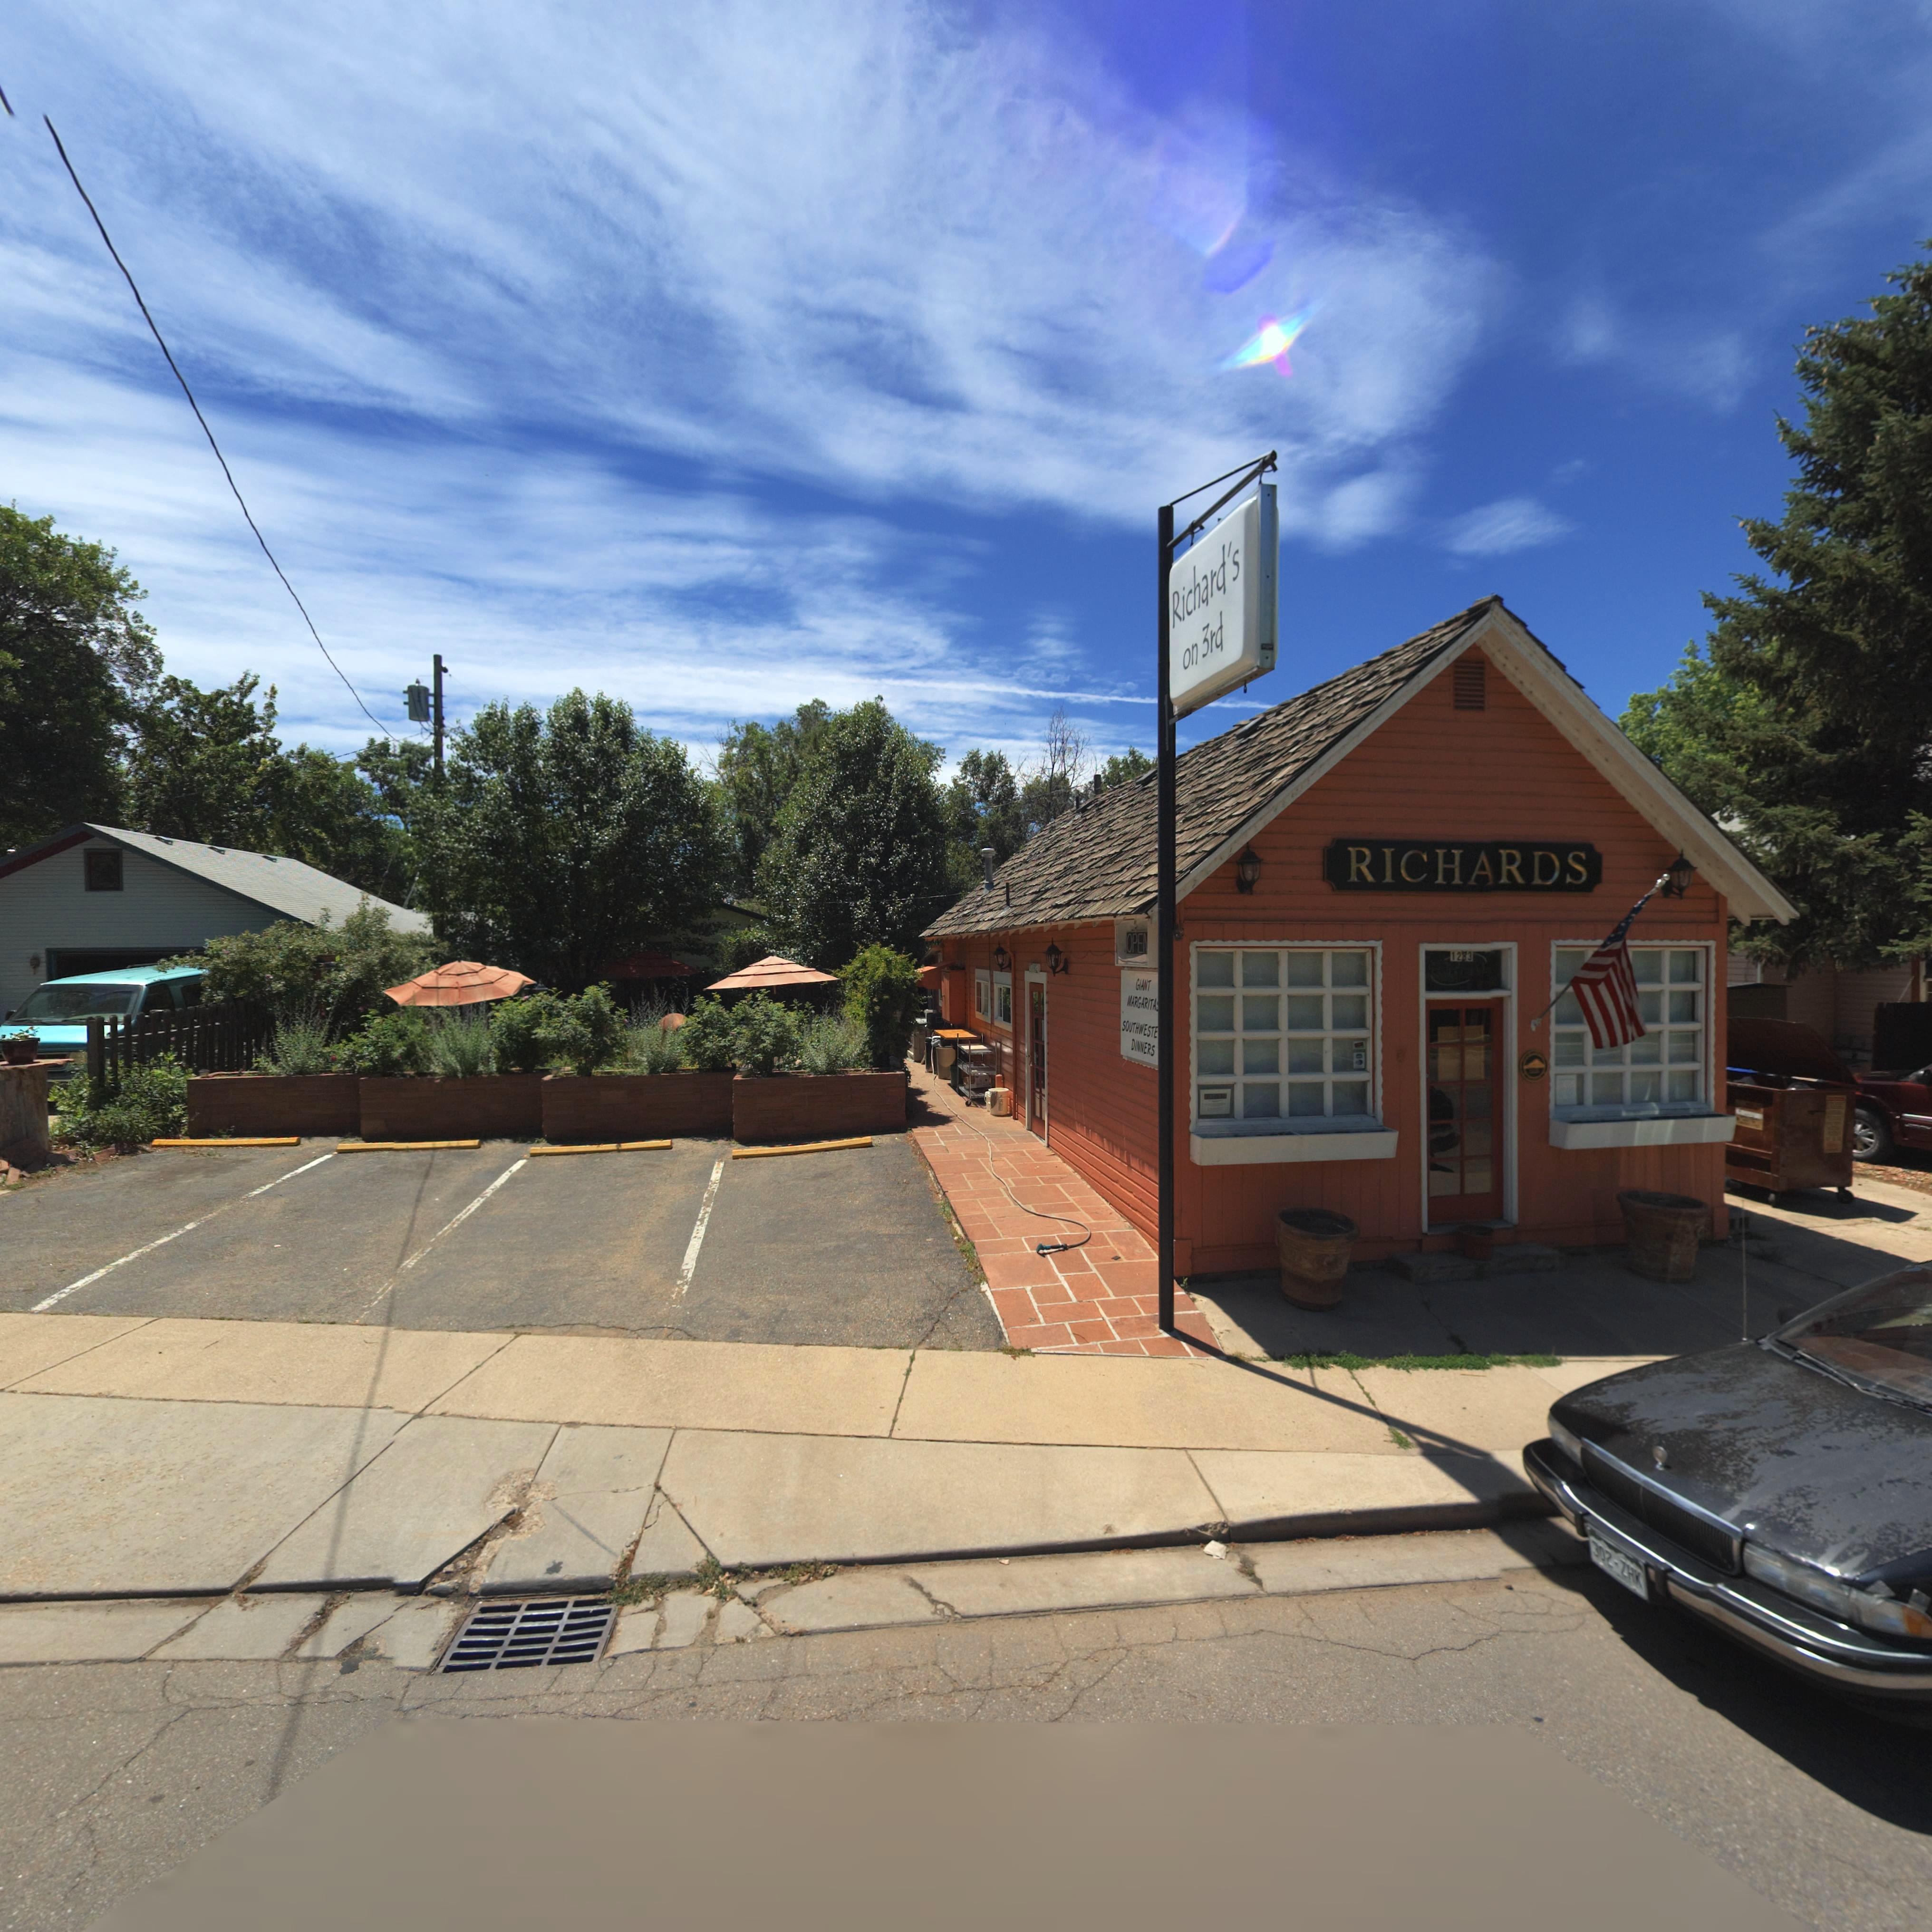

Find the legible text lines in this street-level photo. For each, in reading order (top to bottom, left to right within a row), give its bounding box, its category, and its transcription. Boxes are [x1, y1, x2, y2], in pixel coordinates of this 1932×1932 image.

[1172, 541, 1239, 629] BusinessName: Richard's 
[1346, 846, 1588, 885] BusinessName: RICHARDS
[1451, 951, 1472, 961] StreetNumber: 1283